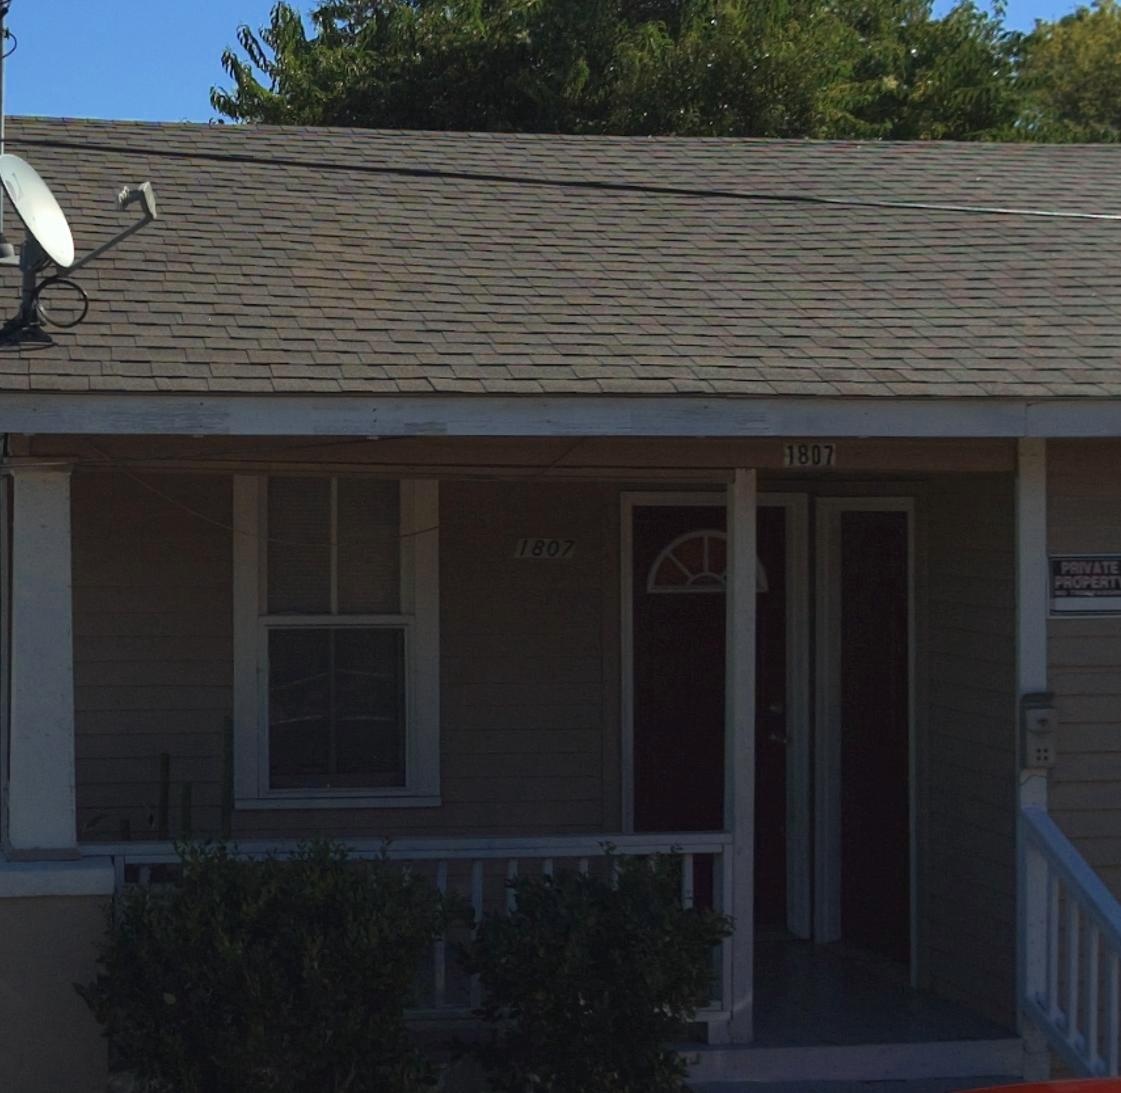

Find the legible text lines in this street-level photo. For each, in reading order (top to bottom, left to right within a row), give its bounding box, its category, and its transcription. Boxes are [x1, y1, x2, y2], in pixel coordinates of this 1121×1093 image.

[785, 442, 837, 467] StreetNumber: 1807
[514, 535, 581, 560] StreetNumber: 1807
[1059, 558, 1121, 576] None: PRIVATE
[1052, 572, 1120, 592] None: PROPERT